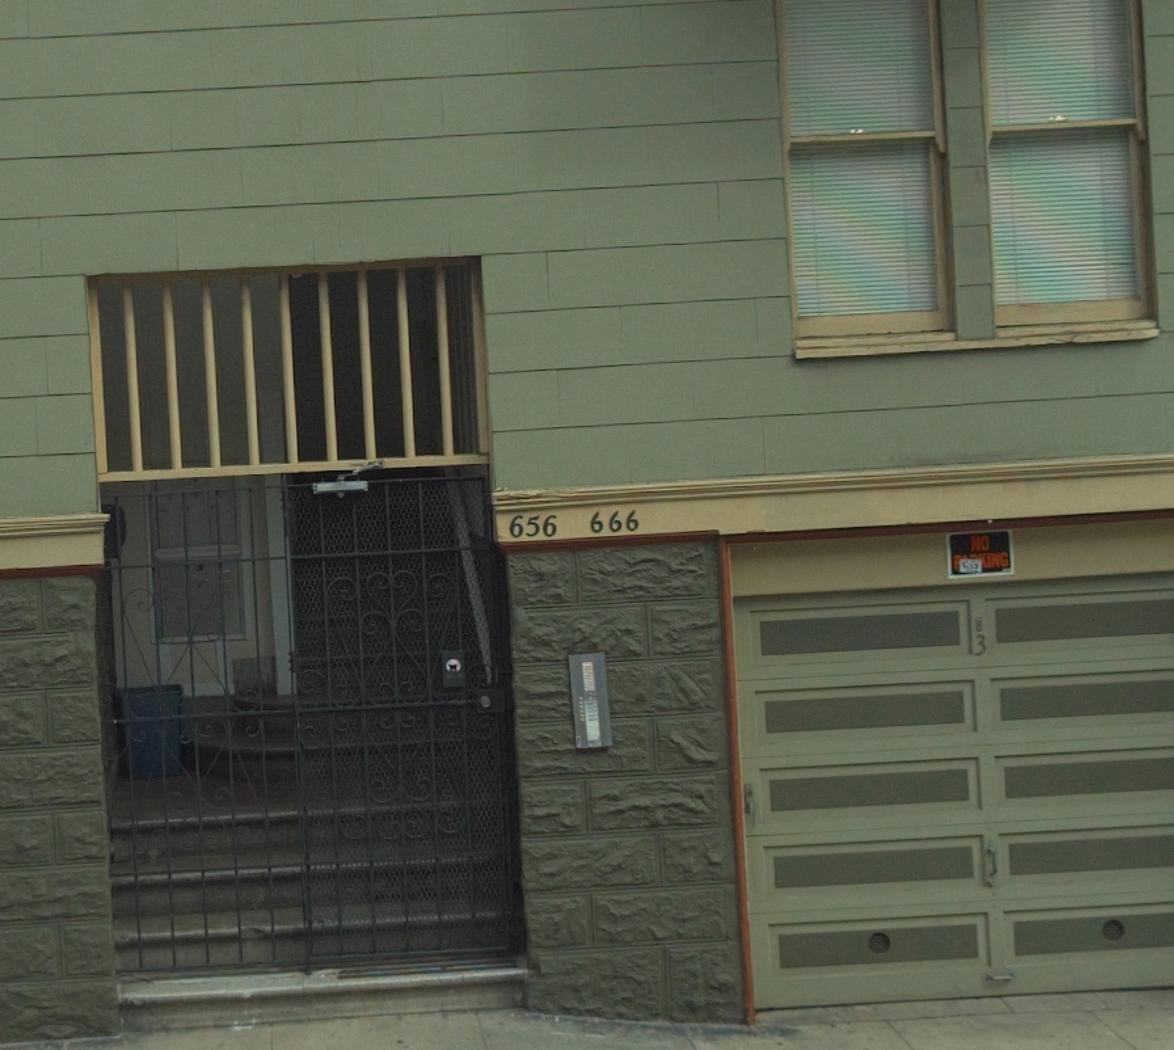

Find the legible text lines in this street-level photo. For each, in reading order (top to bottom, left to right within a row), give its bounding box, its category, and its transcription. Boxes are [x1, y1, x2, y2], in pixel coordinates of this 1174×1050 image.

[509, 513, 559, 539] StreetNumber: 656
[588, 508, 641, 535] StreetNumber: 666
[969, 533, 992, 552] None: NO
[987, 550, 1010, 568] None: ING
[974, 633, 988, 657] None: 3